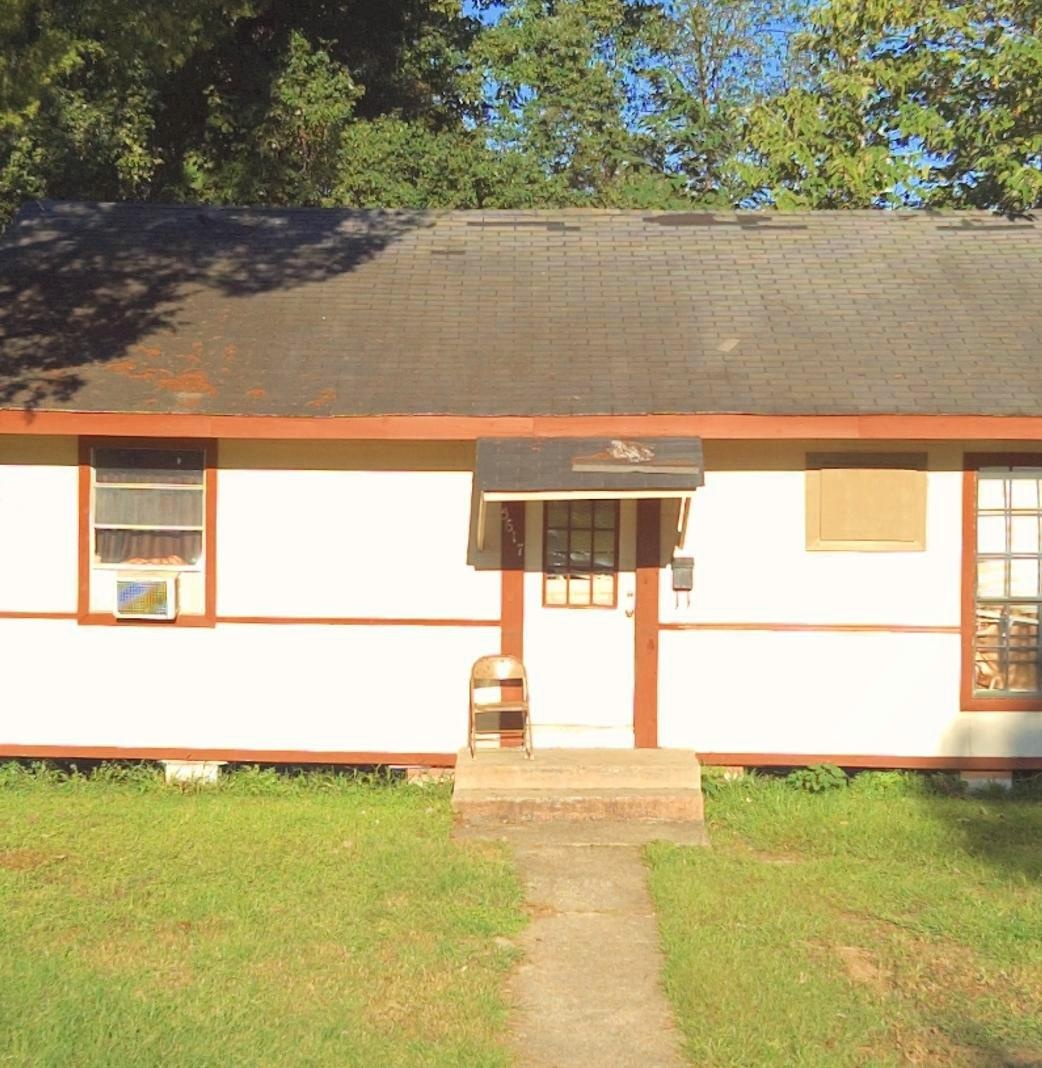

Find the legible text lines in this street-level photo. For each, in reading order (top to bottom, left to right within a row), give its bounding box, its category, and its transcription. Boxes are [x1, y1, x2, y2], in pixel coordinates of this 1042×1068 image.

[500, 504, 526, 560] StreetNumber: 3617